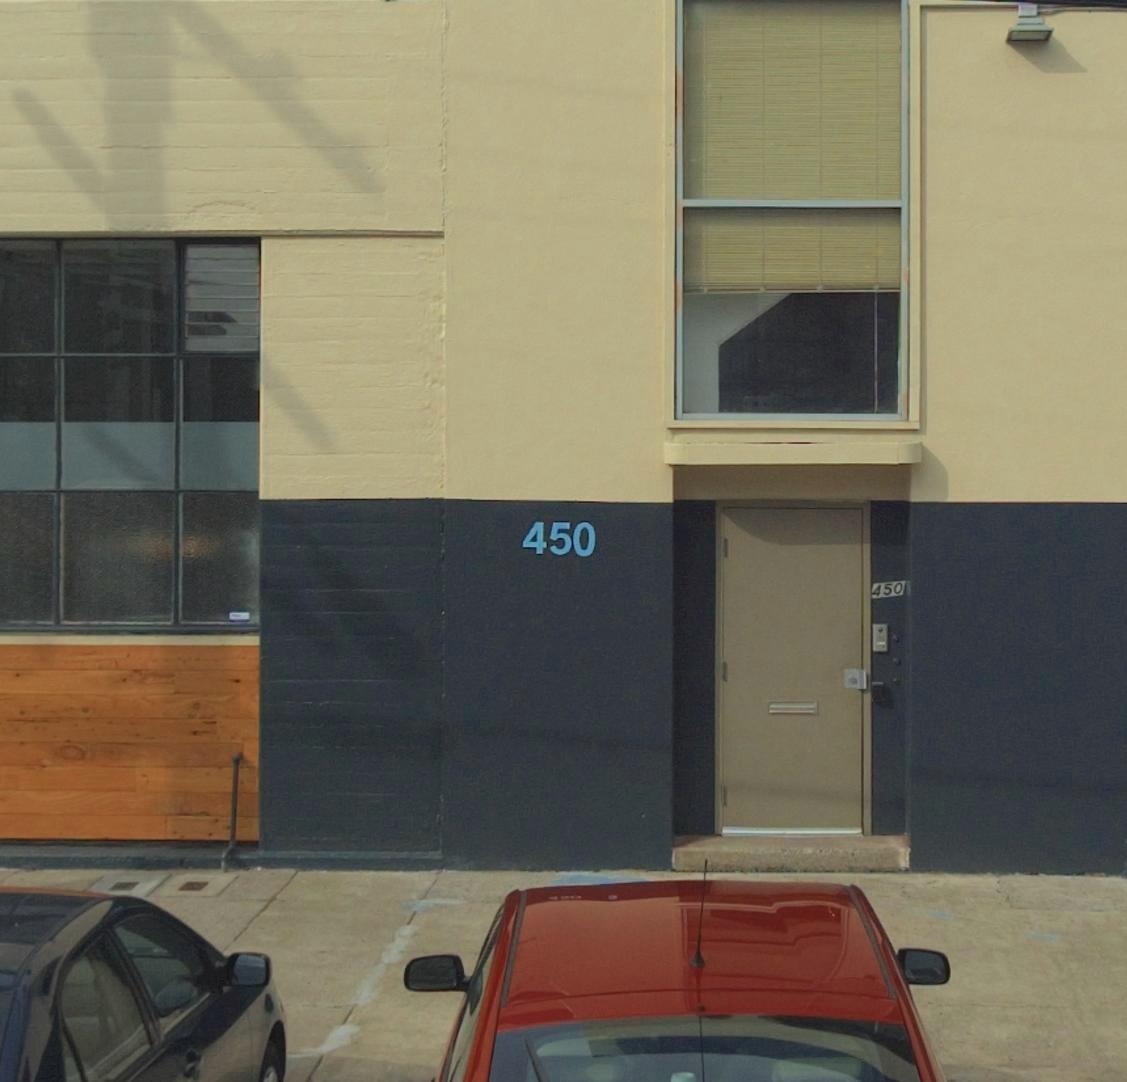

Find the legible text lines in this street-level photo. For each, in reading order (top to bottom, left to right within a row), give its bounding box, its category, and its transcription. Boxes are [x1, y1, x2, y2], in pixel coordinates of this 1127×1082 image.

[519, 519, 598, 559] StreetNumber: 450
[870, 581, 904, 598] None: 450